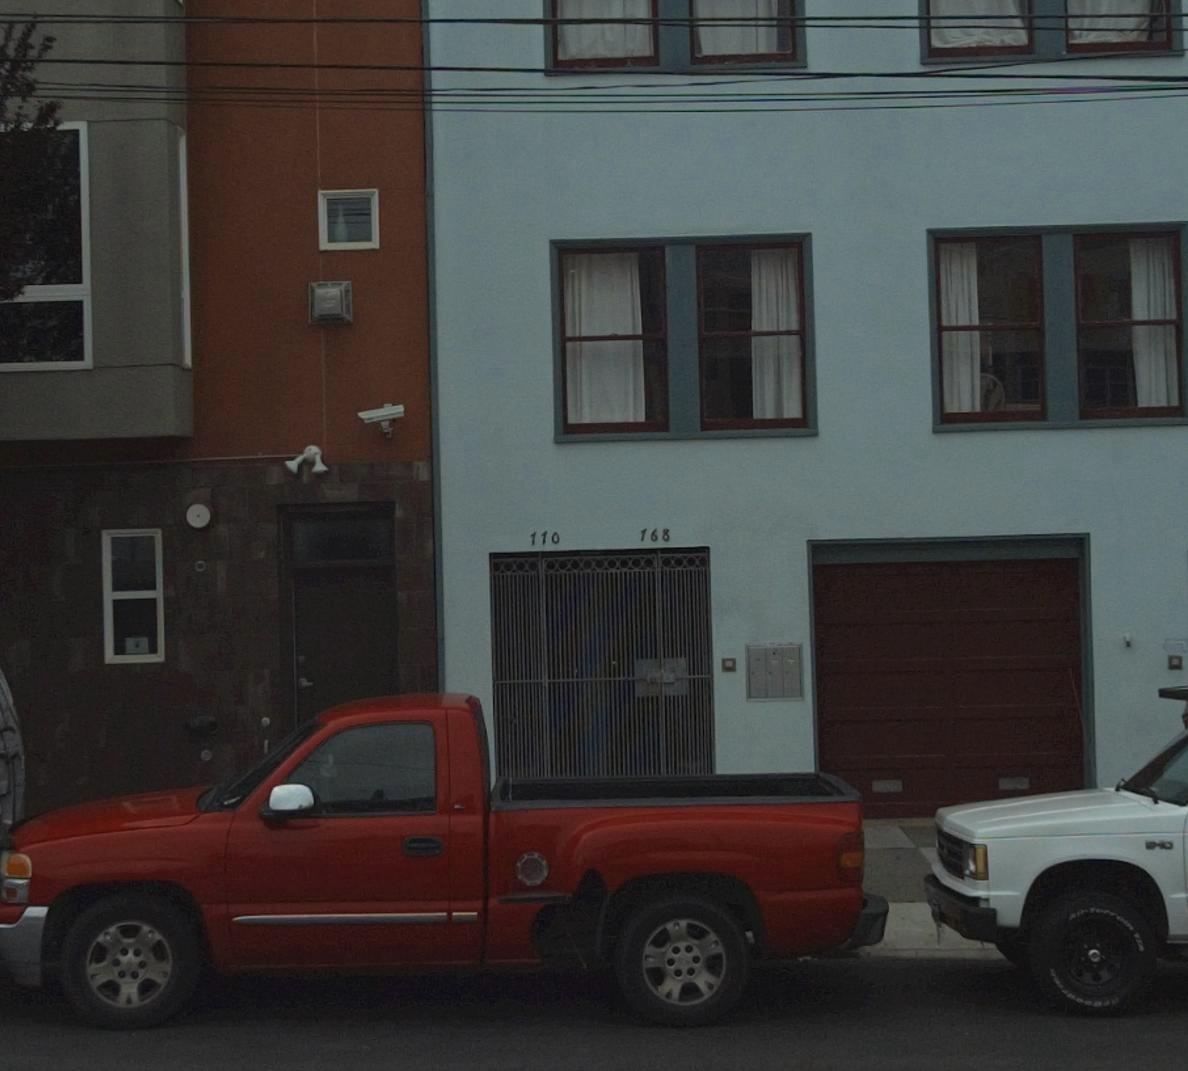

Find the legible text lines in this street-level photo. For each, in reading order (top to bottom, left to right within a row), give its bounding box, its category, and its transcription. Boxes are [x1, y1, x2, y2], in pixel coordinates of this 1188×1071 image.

[528, 529, 561, 547] StreetNumber: 770
[639, 526, 672, 543] StreetNumber: 768